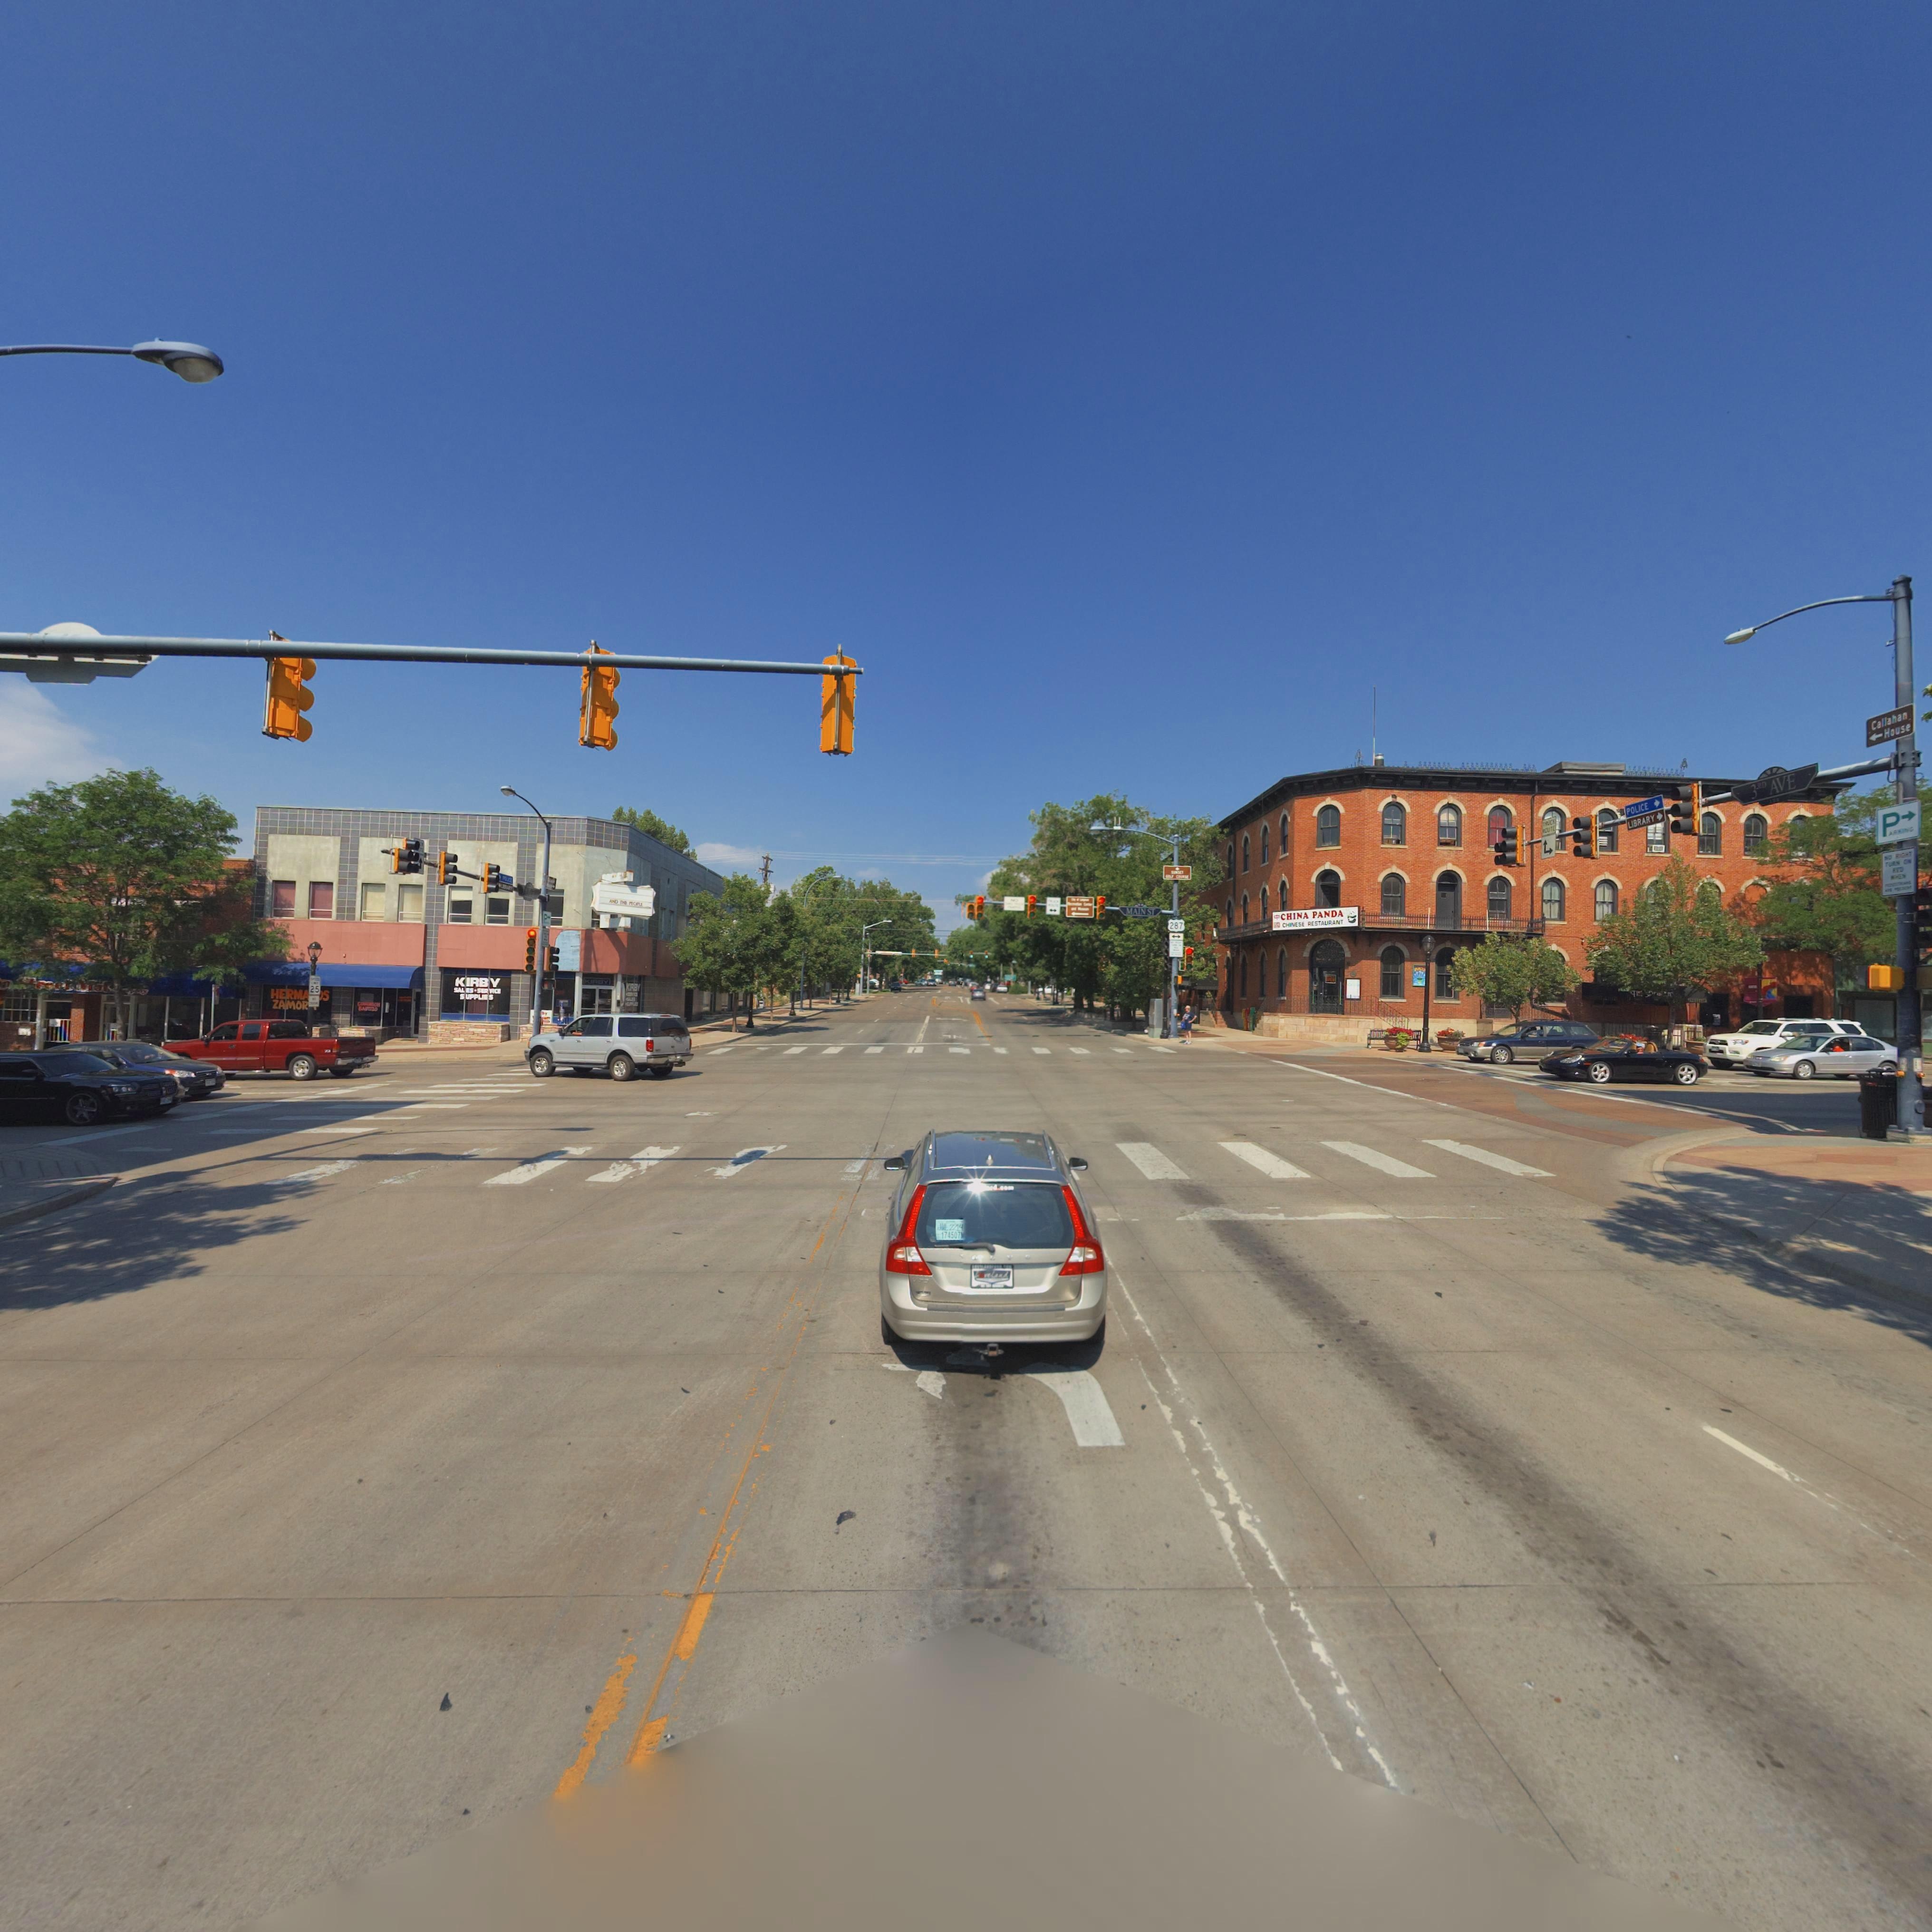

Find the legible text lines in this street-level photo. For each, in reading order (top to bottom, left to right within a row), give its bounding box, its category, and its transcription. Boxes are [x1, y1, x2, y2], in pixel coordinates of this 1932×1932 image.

[1749, 772, 1798, 801] StreetName: 3RD AVE
[1125, 907, 1156, 916] StreetName: MAIN ST
[1280, 909, 1344, 920] BusinessName: CHINA PANDA
[1282, 919, 1343, 928] BusinessName: CHINESE RESTAURANT
[20, 976, 147, 995] BusinessName: **ee* ****
[454, 976, 502, 987] BusinessName: KIRBY
[585, 978, 609, 984] BusinessName: KIRBY
[625, 982, 641, 992] BusinessName: KIRBY
[270, 988, 330, 1001] BusinessName: HERMA**S
[272, 999, 317, 1010] BusinessName: ZAMOR**